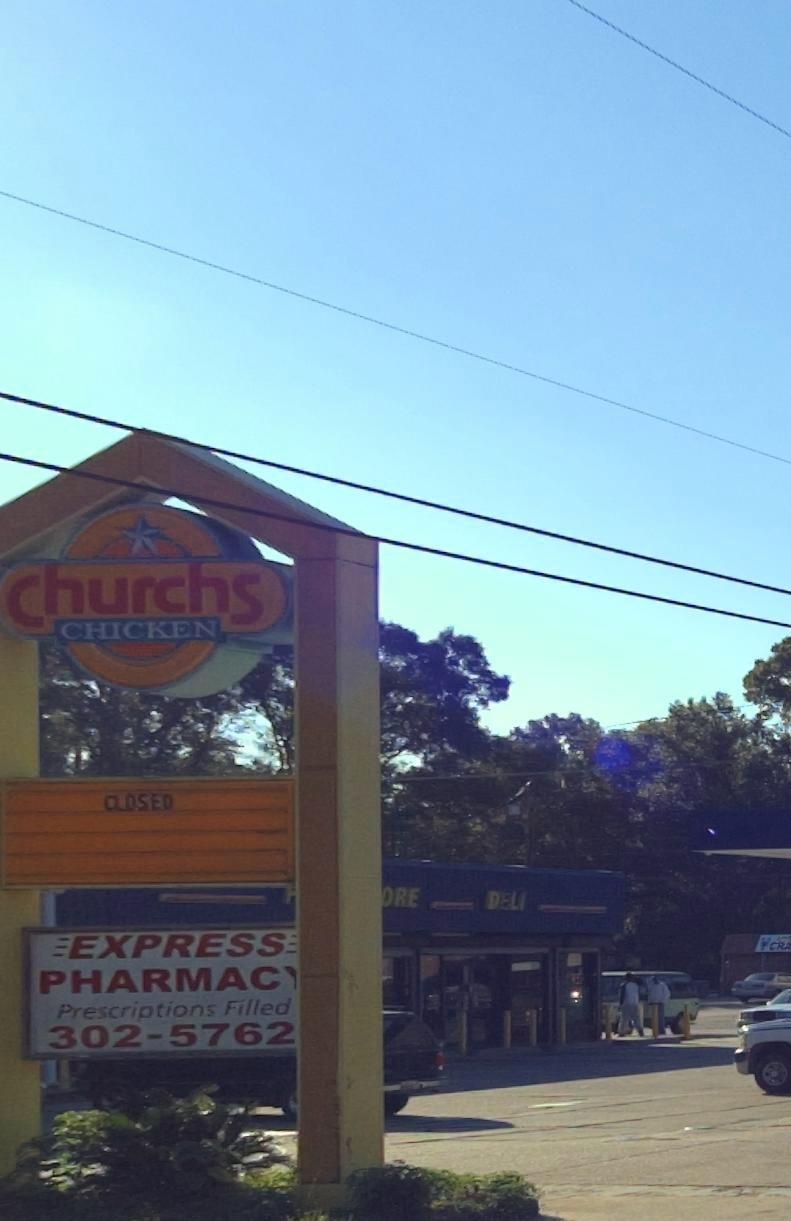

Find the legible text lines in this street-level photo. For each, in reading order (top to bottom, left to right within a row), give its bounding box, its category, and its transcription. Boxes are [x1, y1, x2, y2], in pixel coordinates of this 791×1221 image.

[5, 557, 267, 629] BusinessName: Churchs Chicken
[59, 616, 221, 644] BusinessName: CHICKEN
[99, 790, 179, 815] None: CLOSED
[386, 883, 425, 913] None: RE
[480, 886, 530, 916] None: DELI
[60, 928, 293, 964] BusinessName: EXPRESS
[765, 939, 790, 953] None: CR
[34, 961, 289, 998] BusinessName: PHARMAC
[51, 994, 296, 1023] None: Prescriptions Filled
[43, 1017, 300, 1054] None: 302-5762